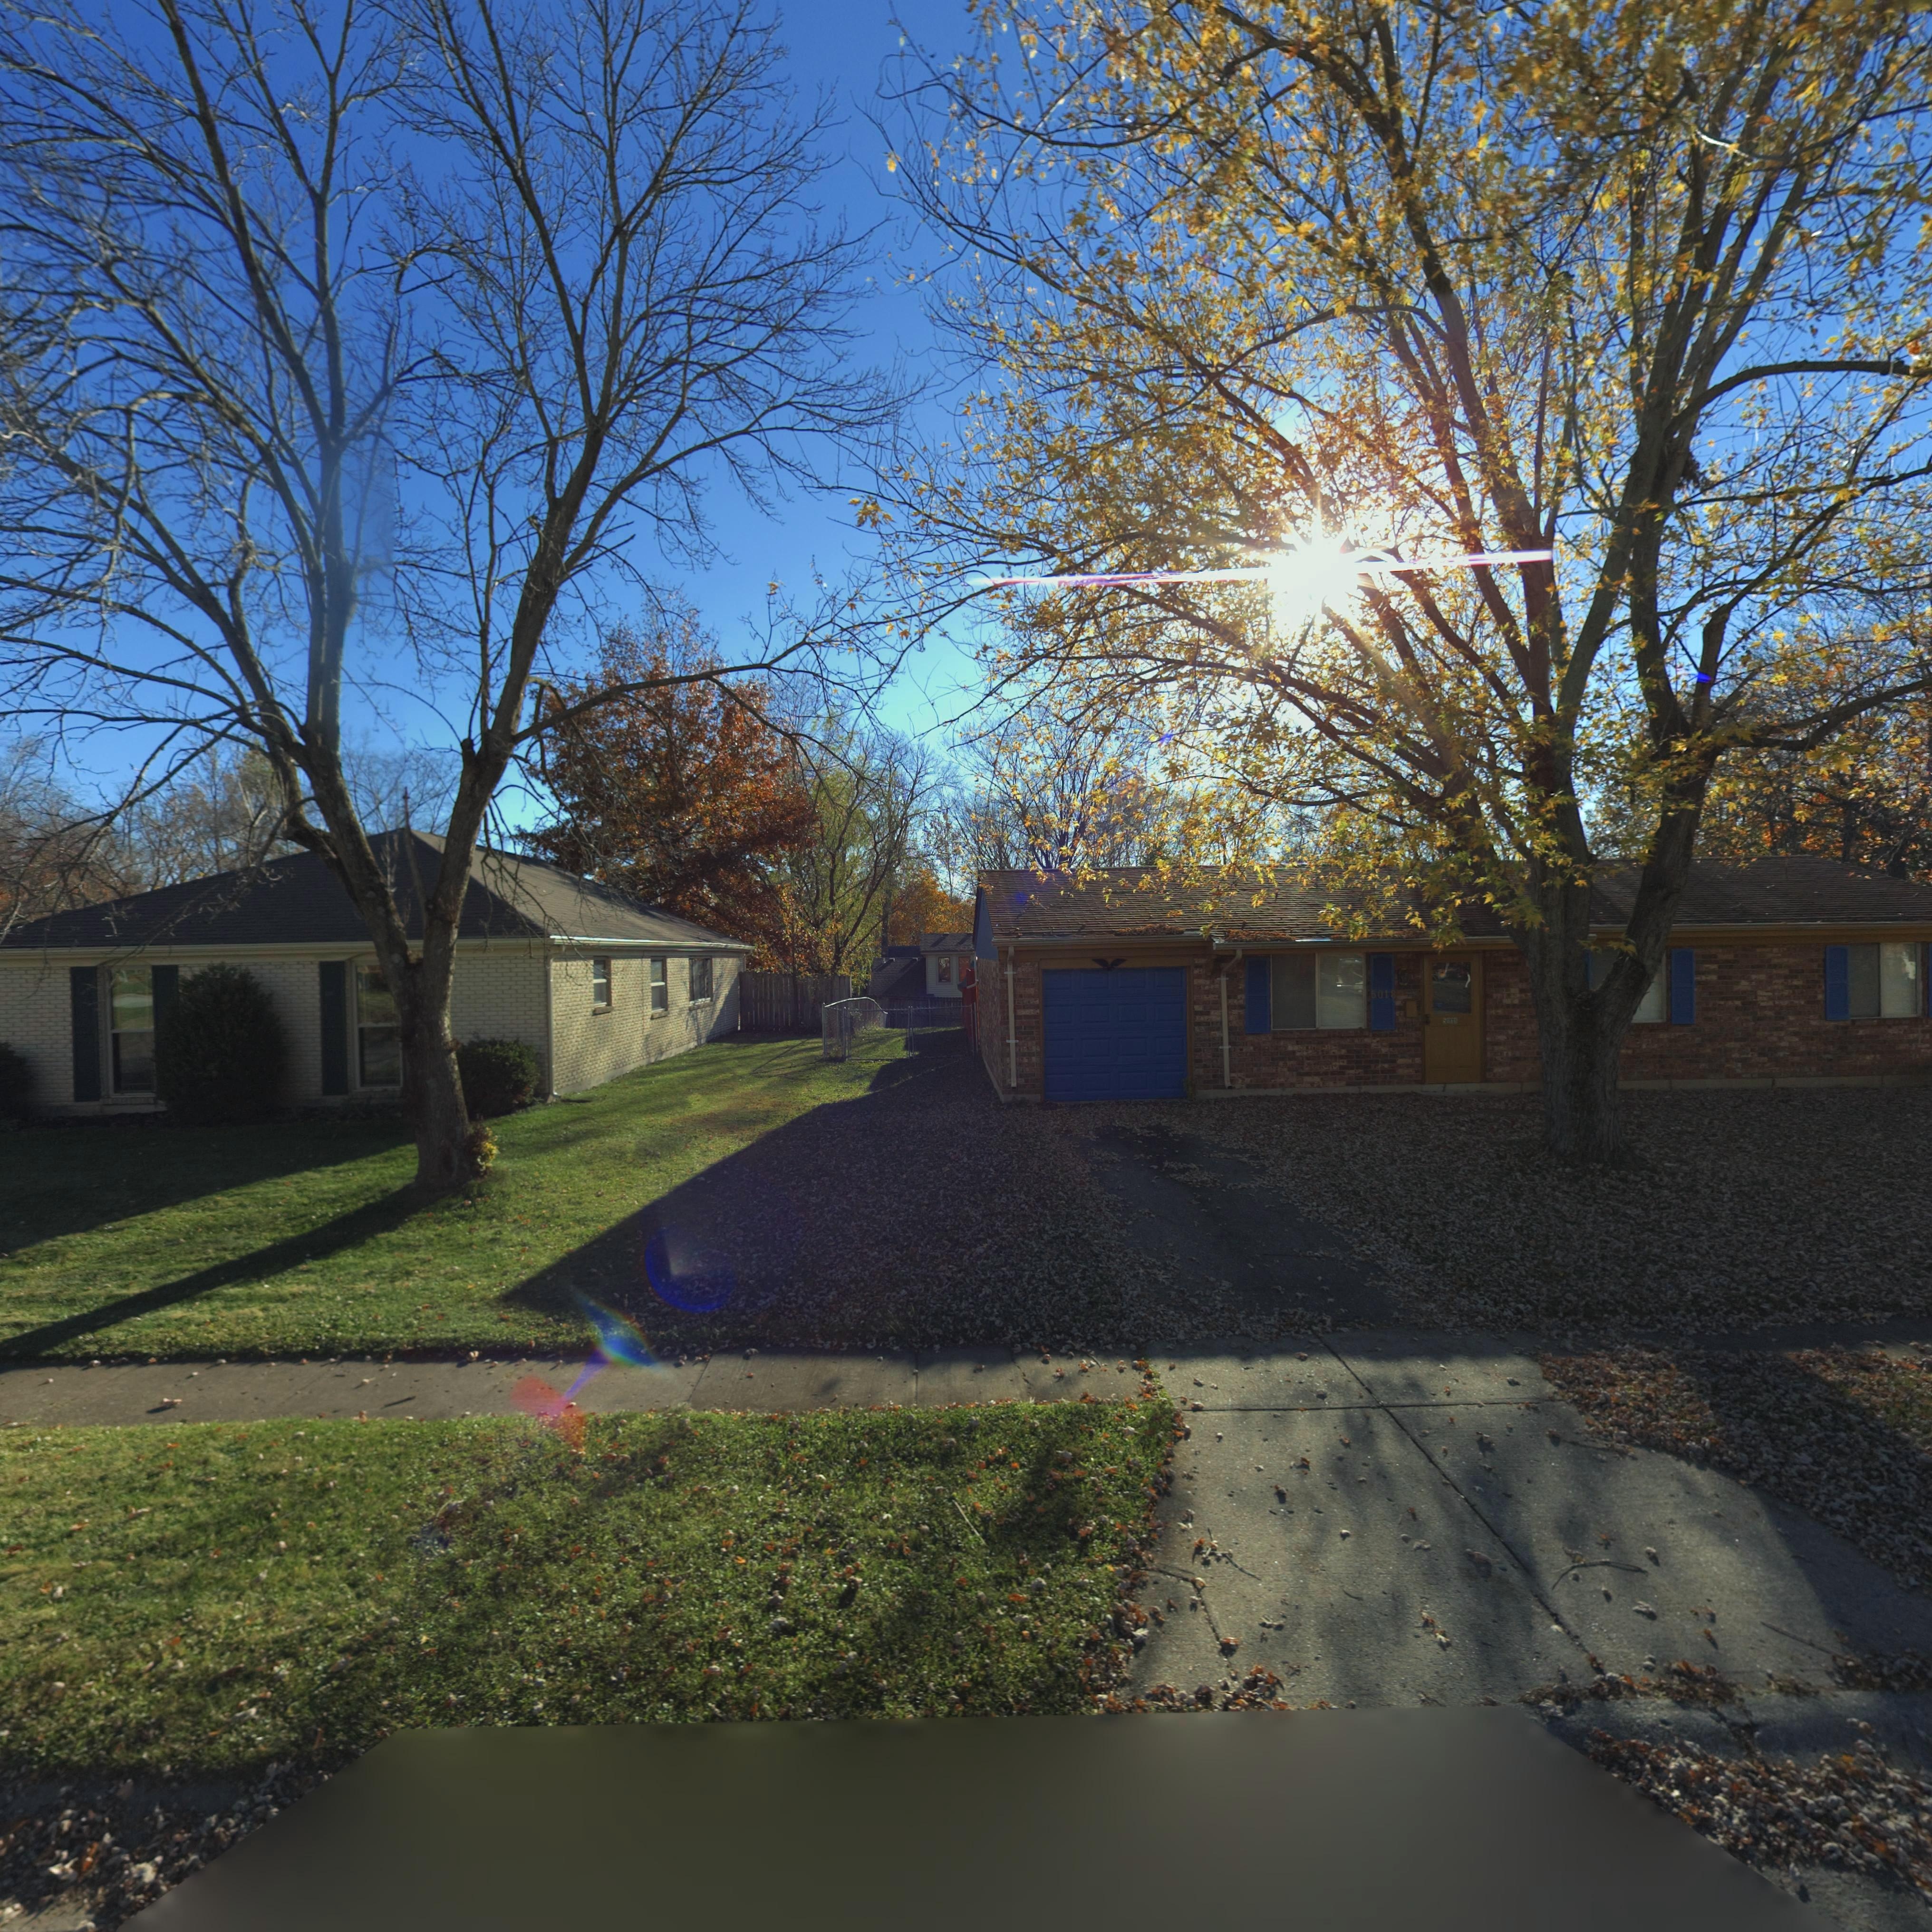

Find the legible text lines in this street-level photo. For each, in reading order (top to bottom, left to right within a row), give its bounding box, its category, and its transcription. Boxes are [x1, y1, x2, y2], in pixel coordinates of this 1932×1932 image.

[1371, 989, 1397, 999] StreetNumber: 5018
[1442, 1017, 1458, 1024] StreetNumber: 5*15